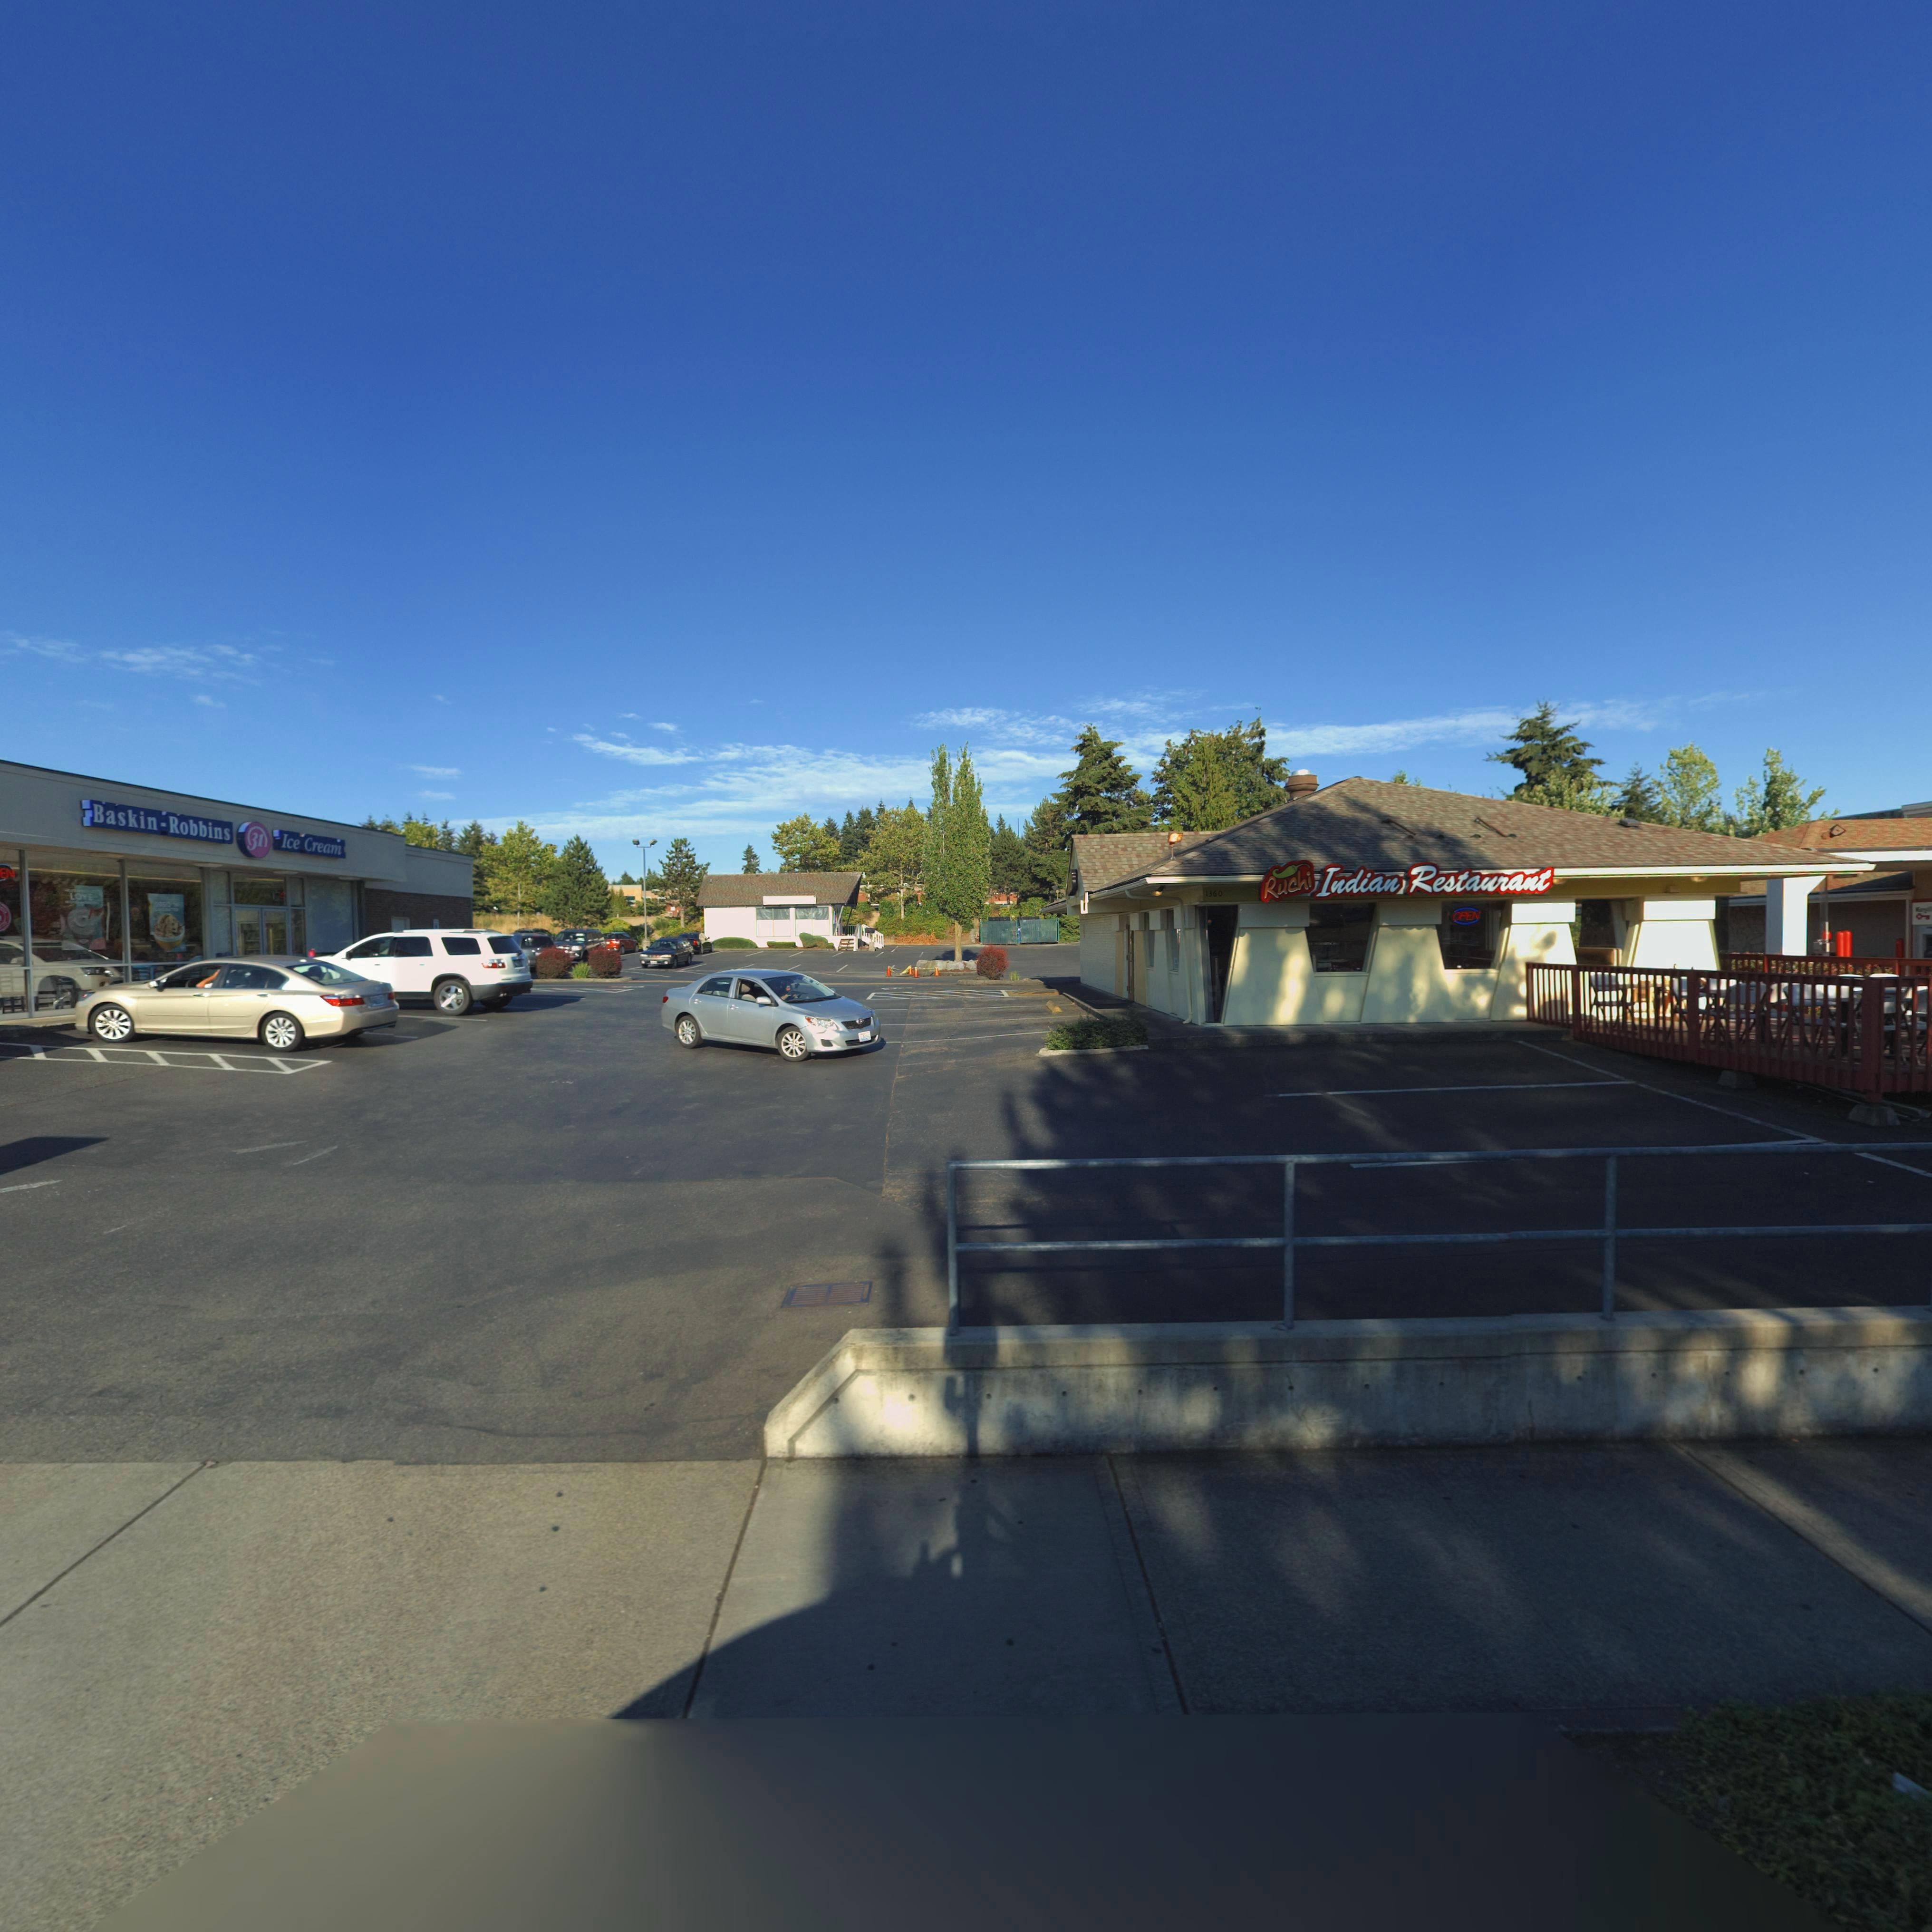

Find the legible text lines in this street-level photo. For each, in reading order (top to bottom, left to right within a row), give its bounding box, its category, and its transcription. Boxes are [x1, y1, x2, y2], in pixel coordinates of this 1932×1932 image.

[92, 802, 231, 840] BusinessName: Baskin*Robbins
[246, 831, 265, 852] BusinessName: 31
[280, 833, 342, 856] BusinessName: Ice Cream
[1206, 890, 1223, 897] StreetNumber: 1360
[1263, 868, 1313, 900] BusinessName: Ruchi
[1316, 867, 1400, 897] BusinessName: Indian
[1409, 865, 1552, 894] BusinessName: Restaurant